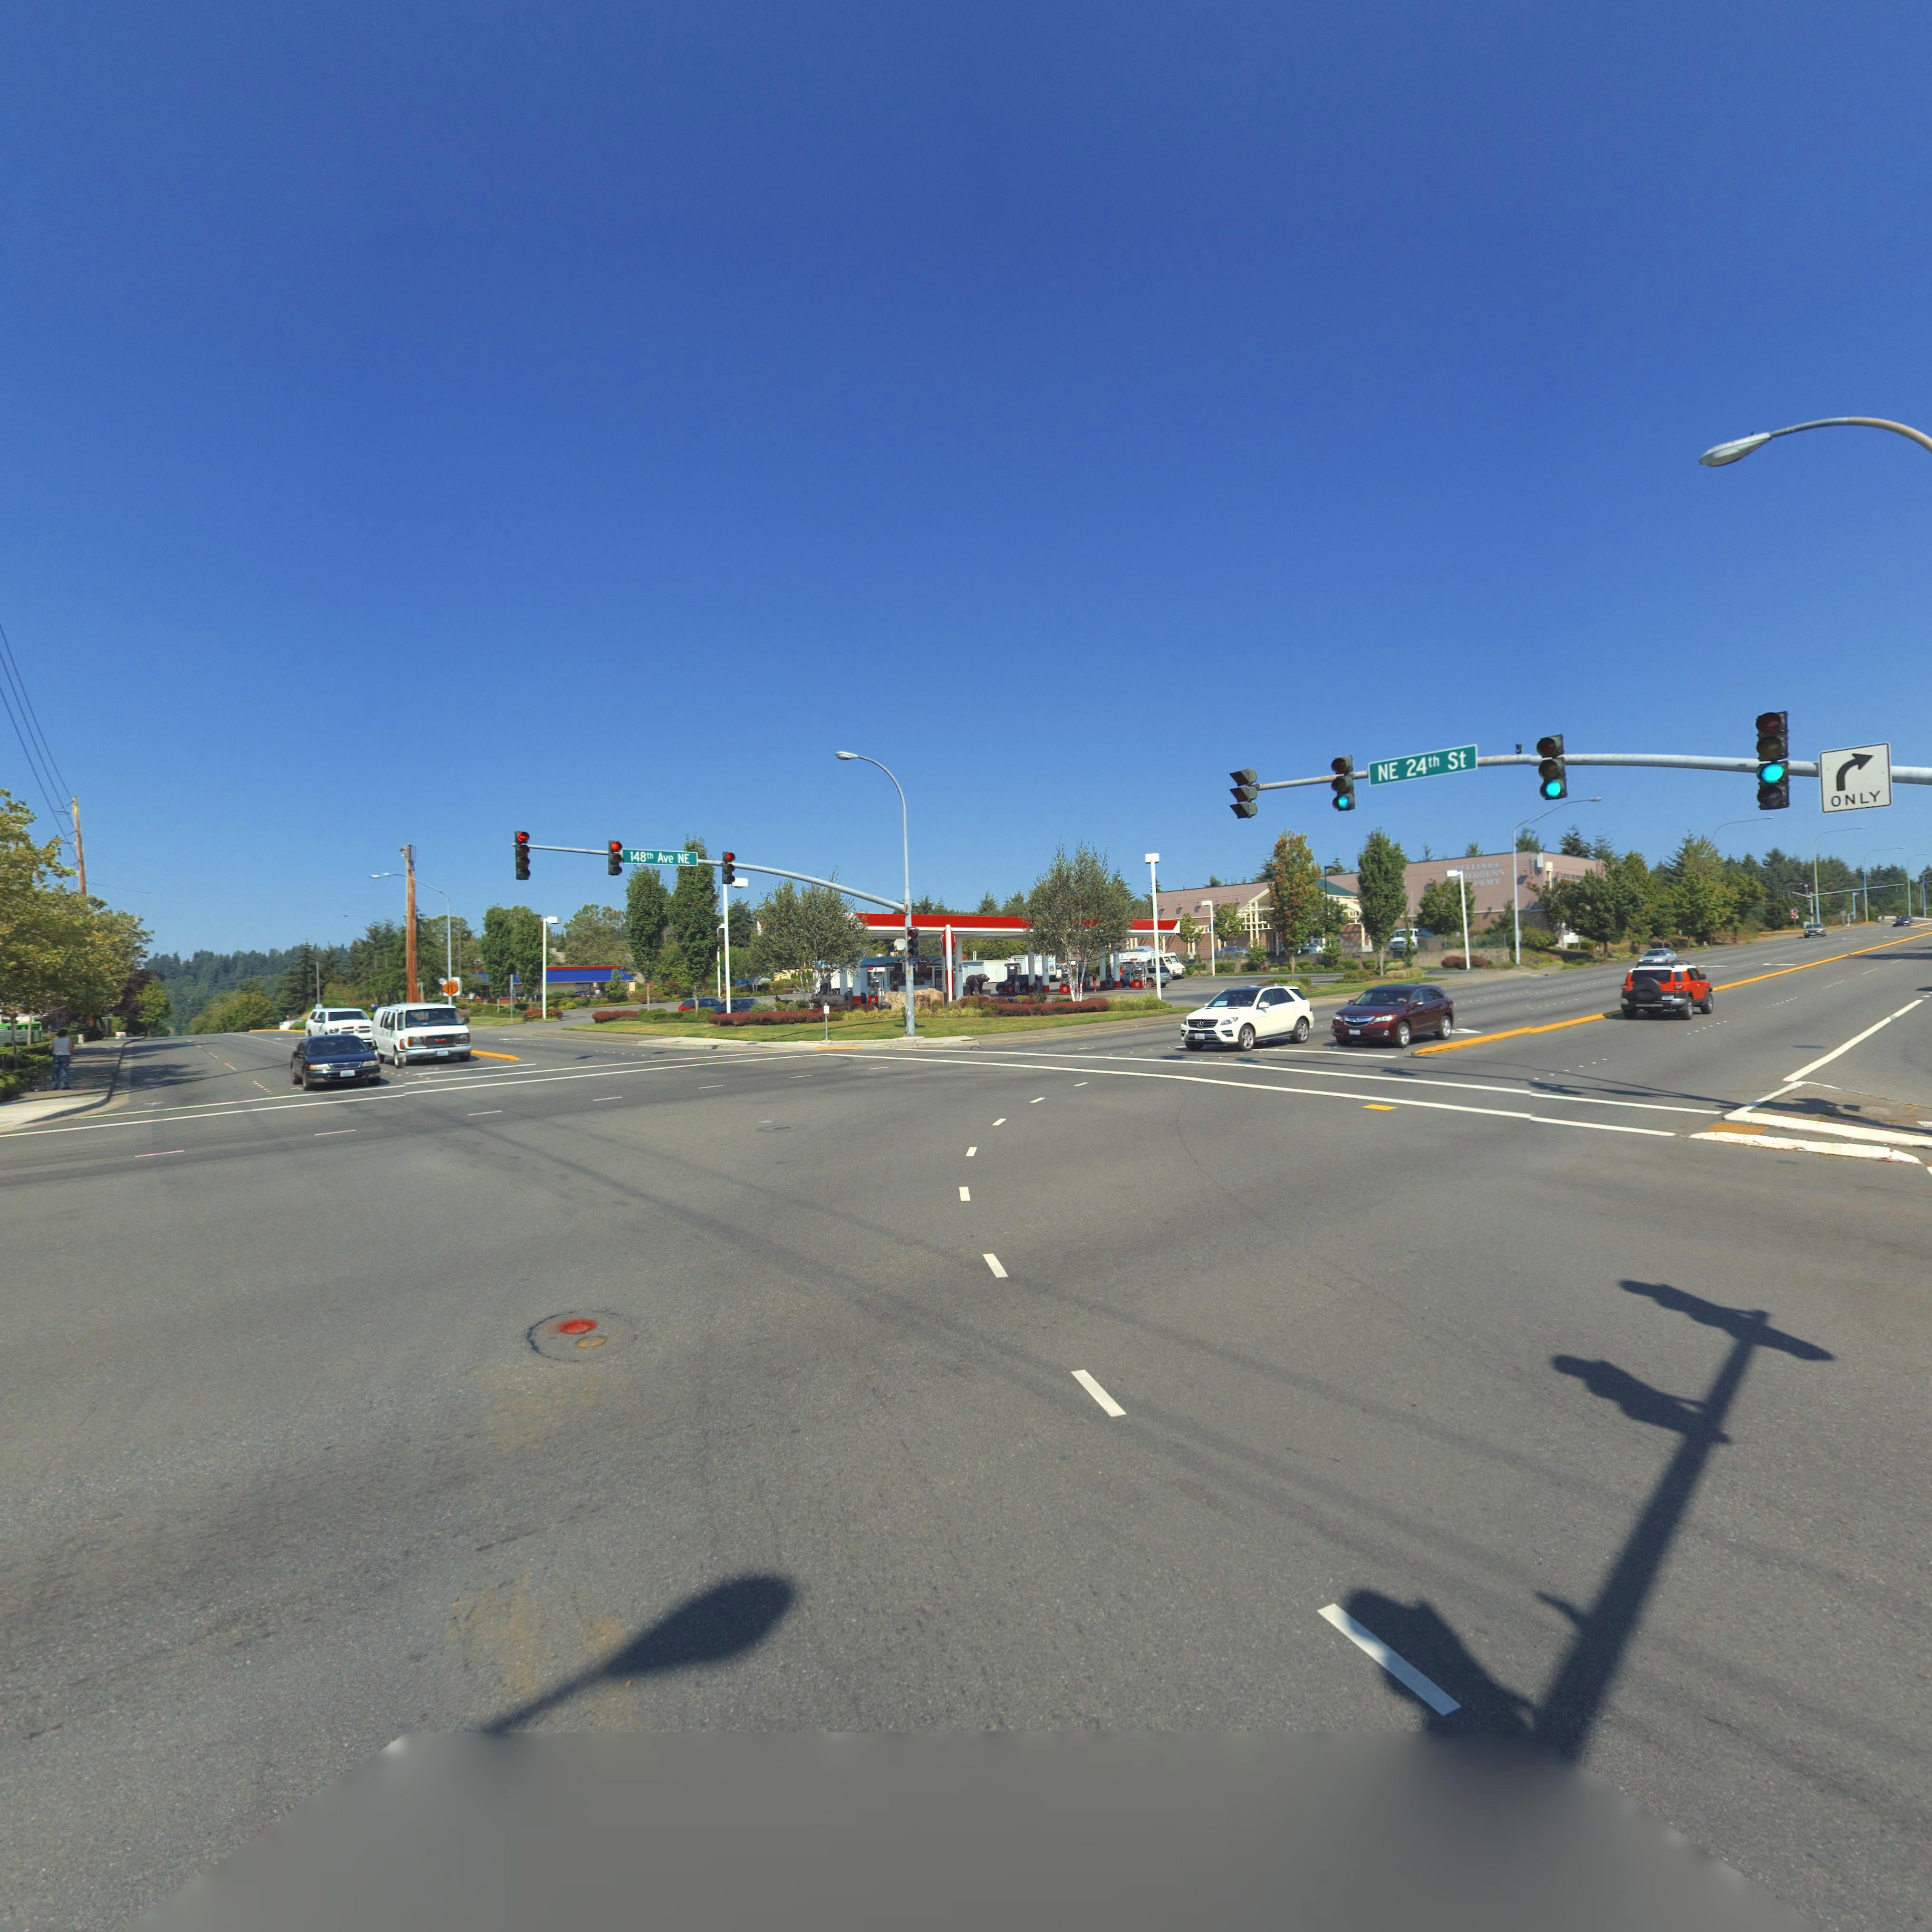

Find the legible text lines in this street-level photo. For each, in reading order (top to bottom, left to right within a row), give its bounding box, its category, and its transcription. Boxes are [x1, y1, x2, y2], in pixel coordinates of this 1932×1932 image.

[1376, 751, 1467, 781] StreetName: NE 24th St
[629, 851, 690, 863] StreetName: 148 th Ave NE